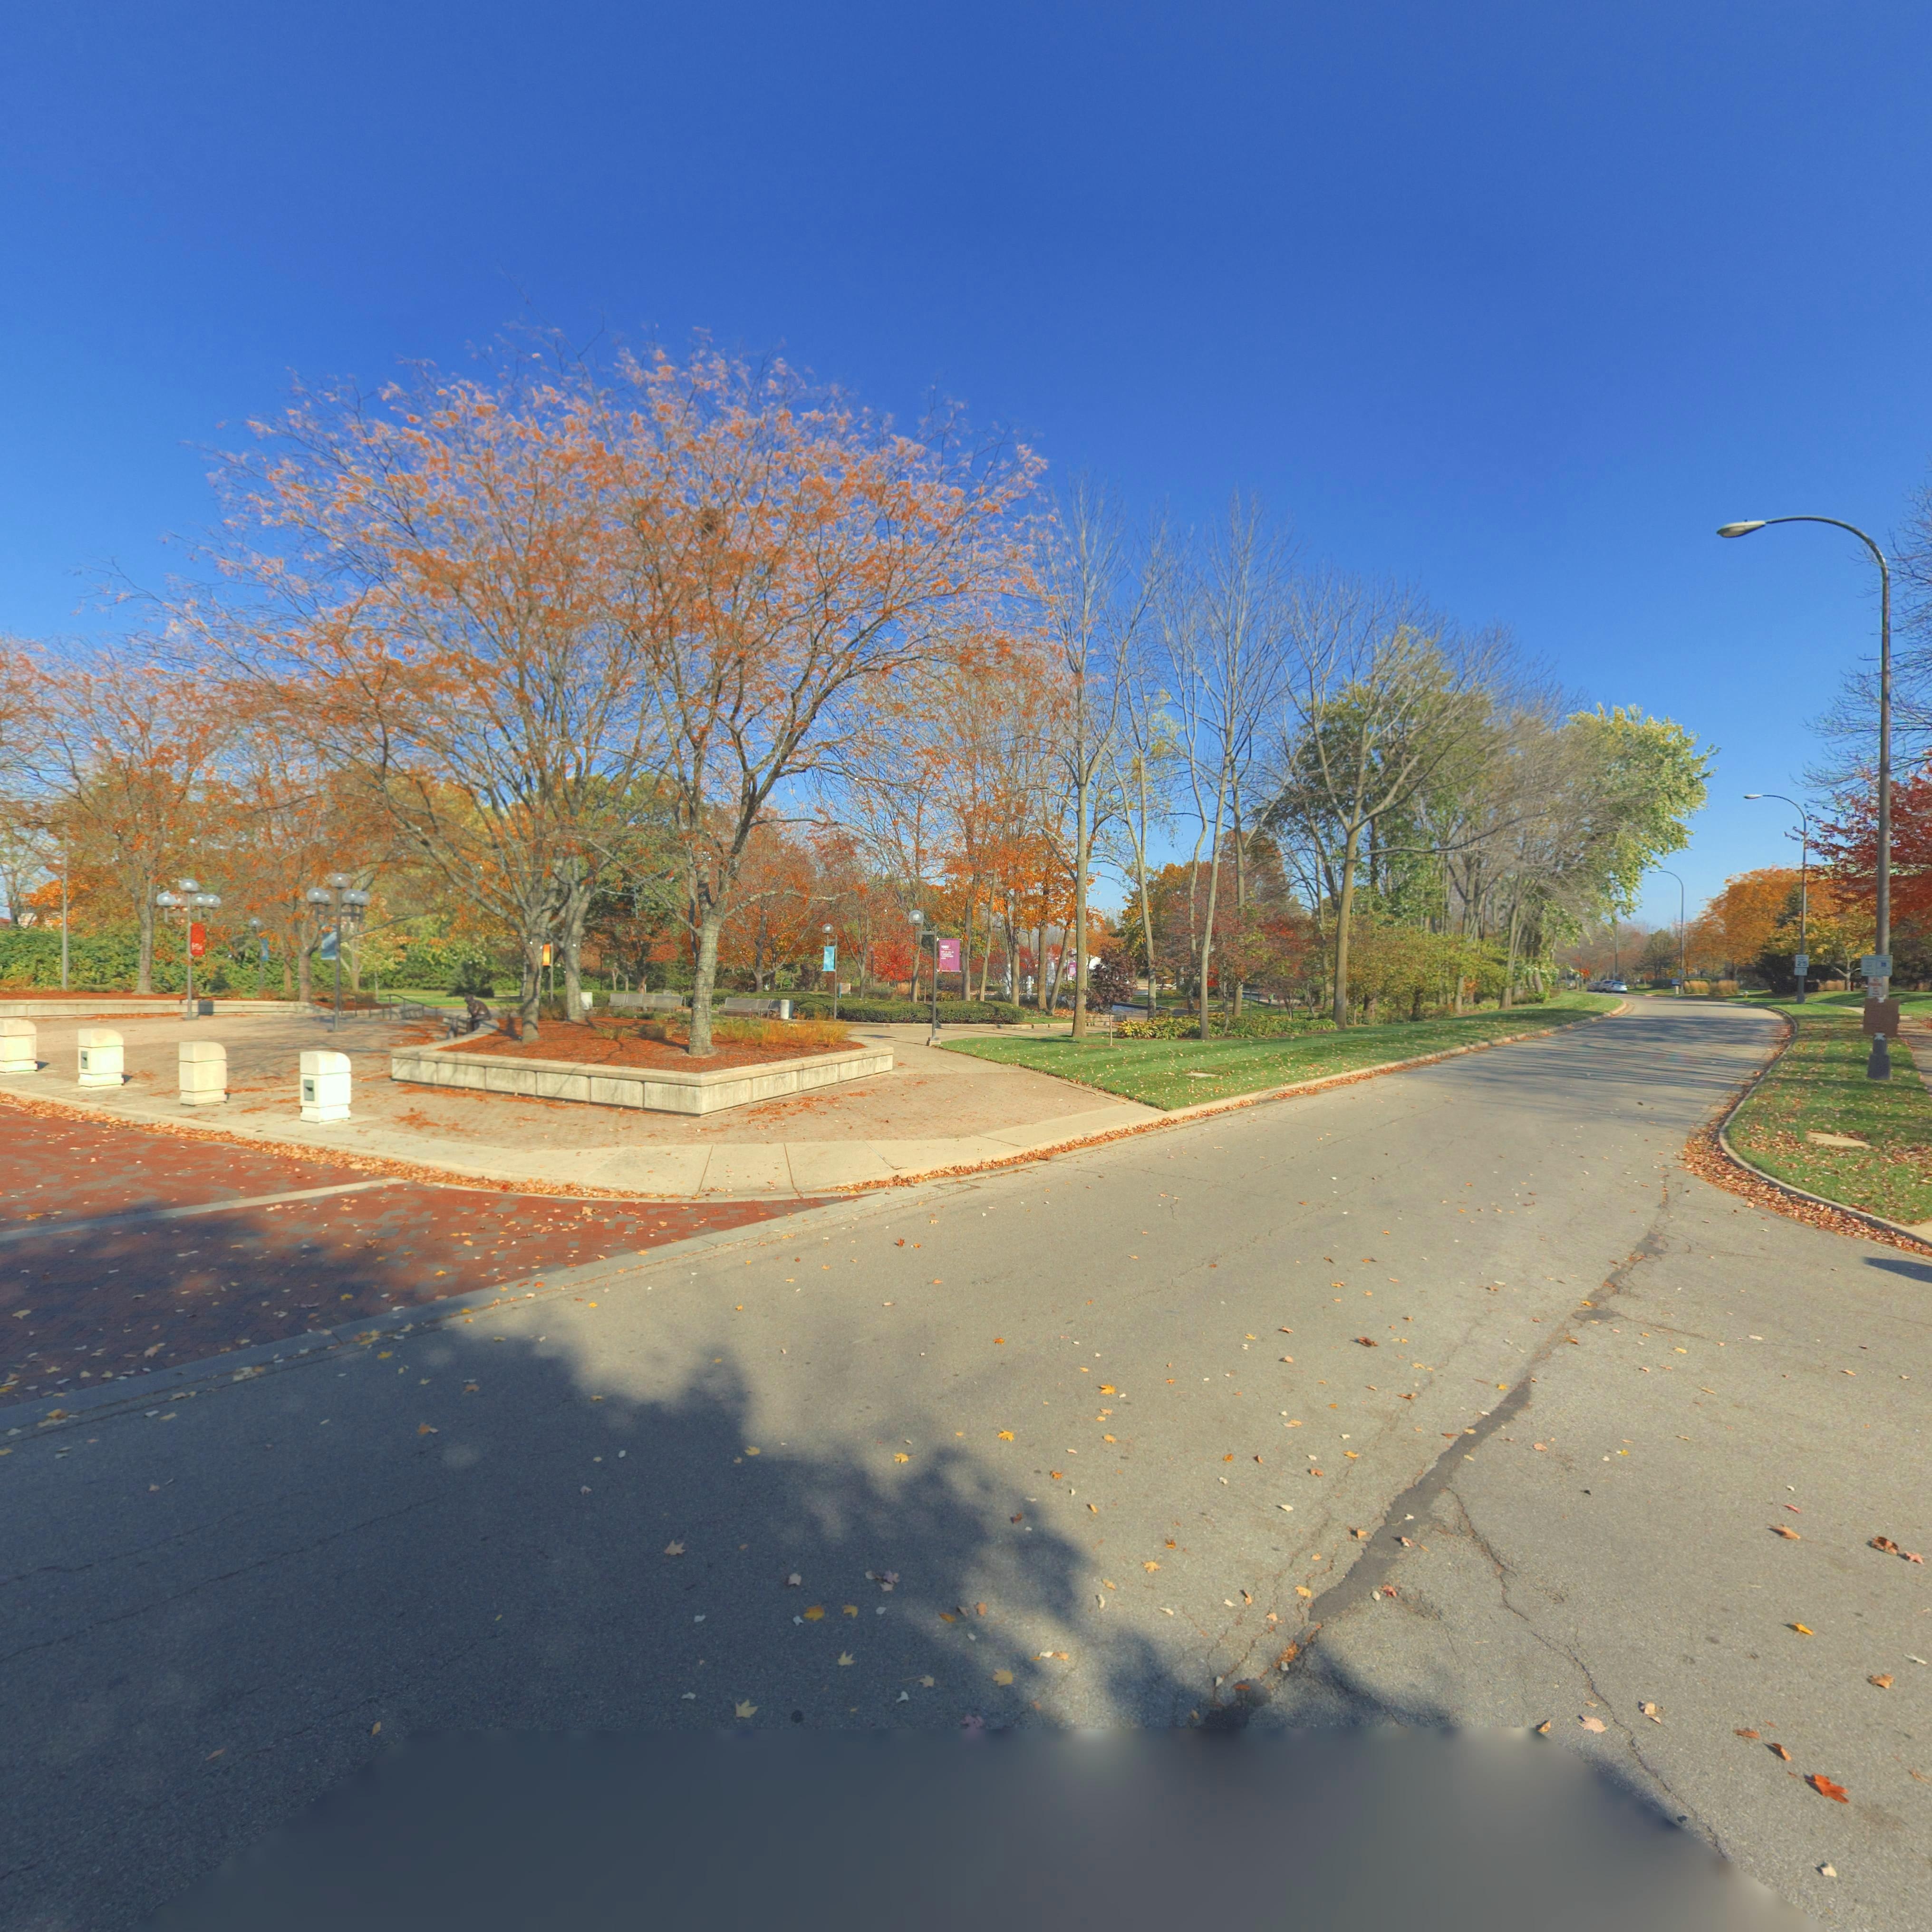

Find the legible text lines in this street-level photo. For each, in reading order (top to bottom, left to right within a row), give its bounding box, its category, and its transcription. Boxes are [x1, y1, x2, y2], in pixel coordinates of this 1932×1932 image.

[1797, 961, 1807, 966] None: 25
[1872, 978, 1878, 982] None: NO
[1868, 982, 1882, 986] None: PARKING